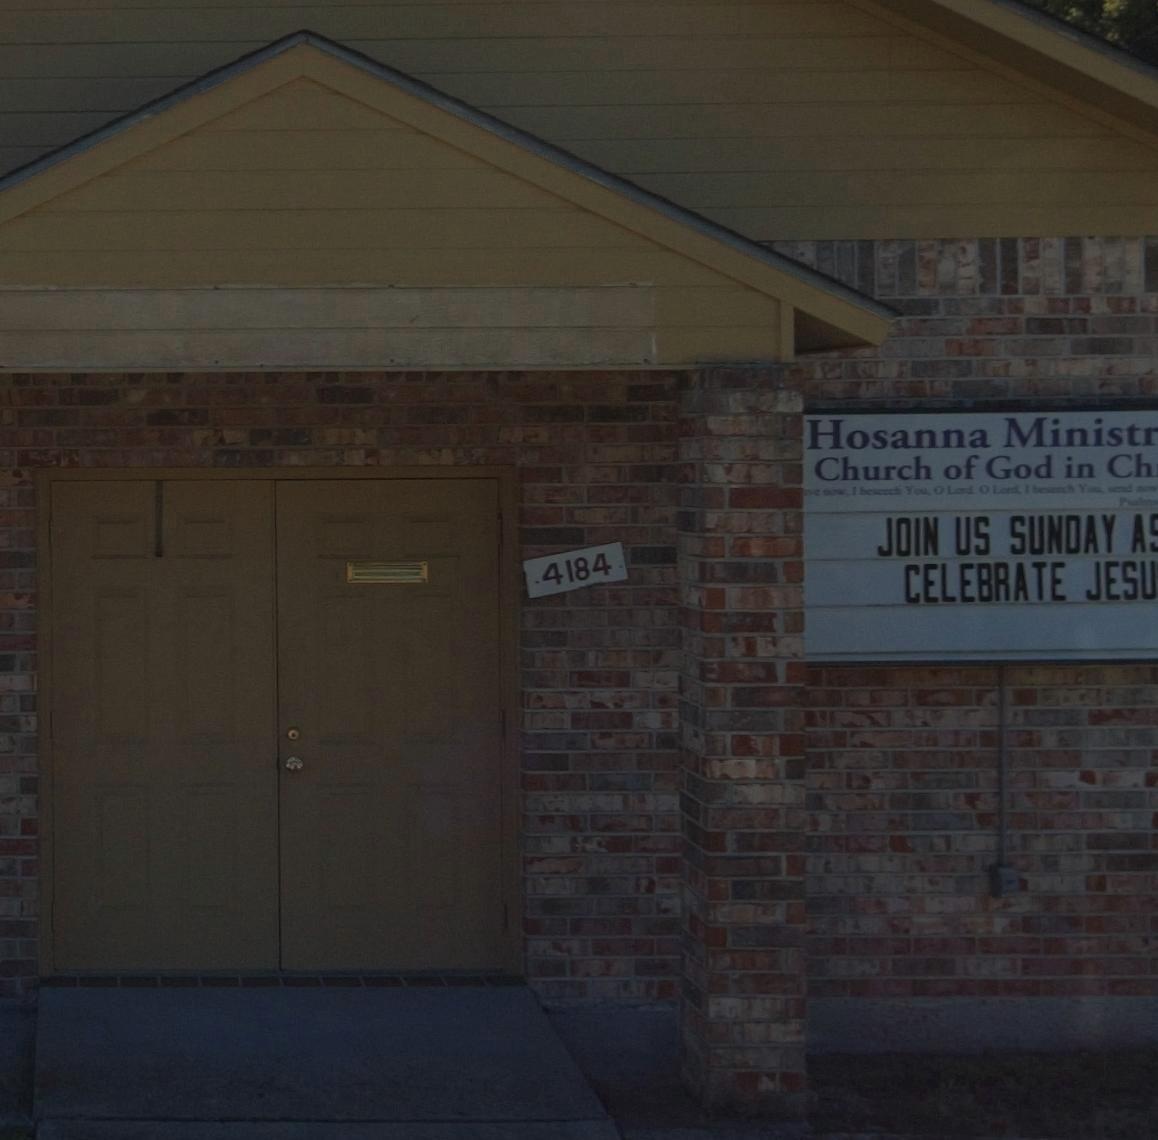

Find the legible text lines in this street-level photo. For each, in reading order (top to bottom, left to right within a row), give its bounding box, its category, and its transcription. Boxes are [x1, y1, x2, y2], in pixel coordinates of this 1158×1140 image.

[802, 413, 1144, 454] BusinessName: Hosanna Minist
[812, 448, 1155, 485] BusinessName: Church of God in Ch
[850, 480, 1104, 500] None: Ib****** You, O Lord, O Lord, I b****** Y**
[872, 509, 1152, 561] None: JOIN US SUNDAY A
[540, 548, 614, 589] StreetNumber: 4184
[900, 557, 1158, 608] None: CELEBRATE JESU